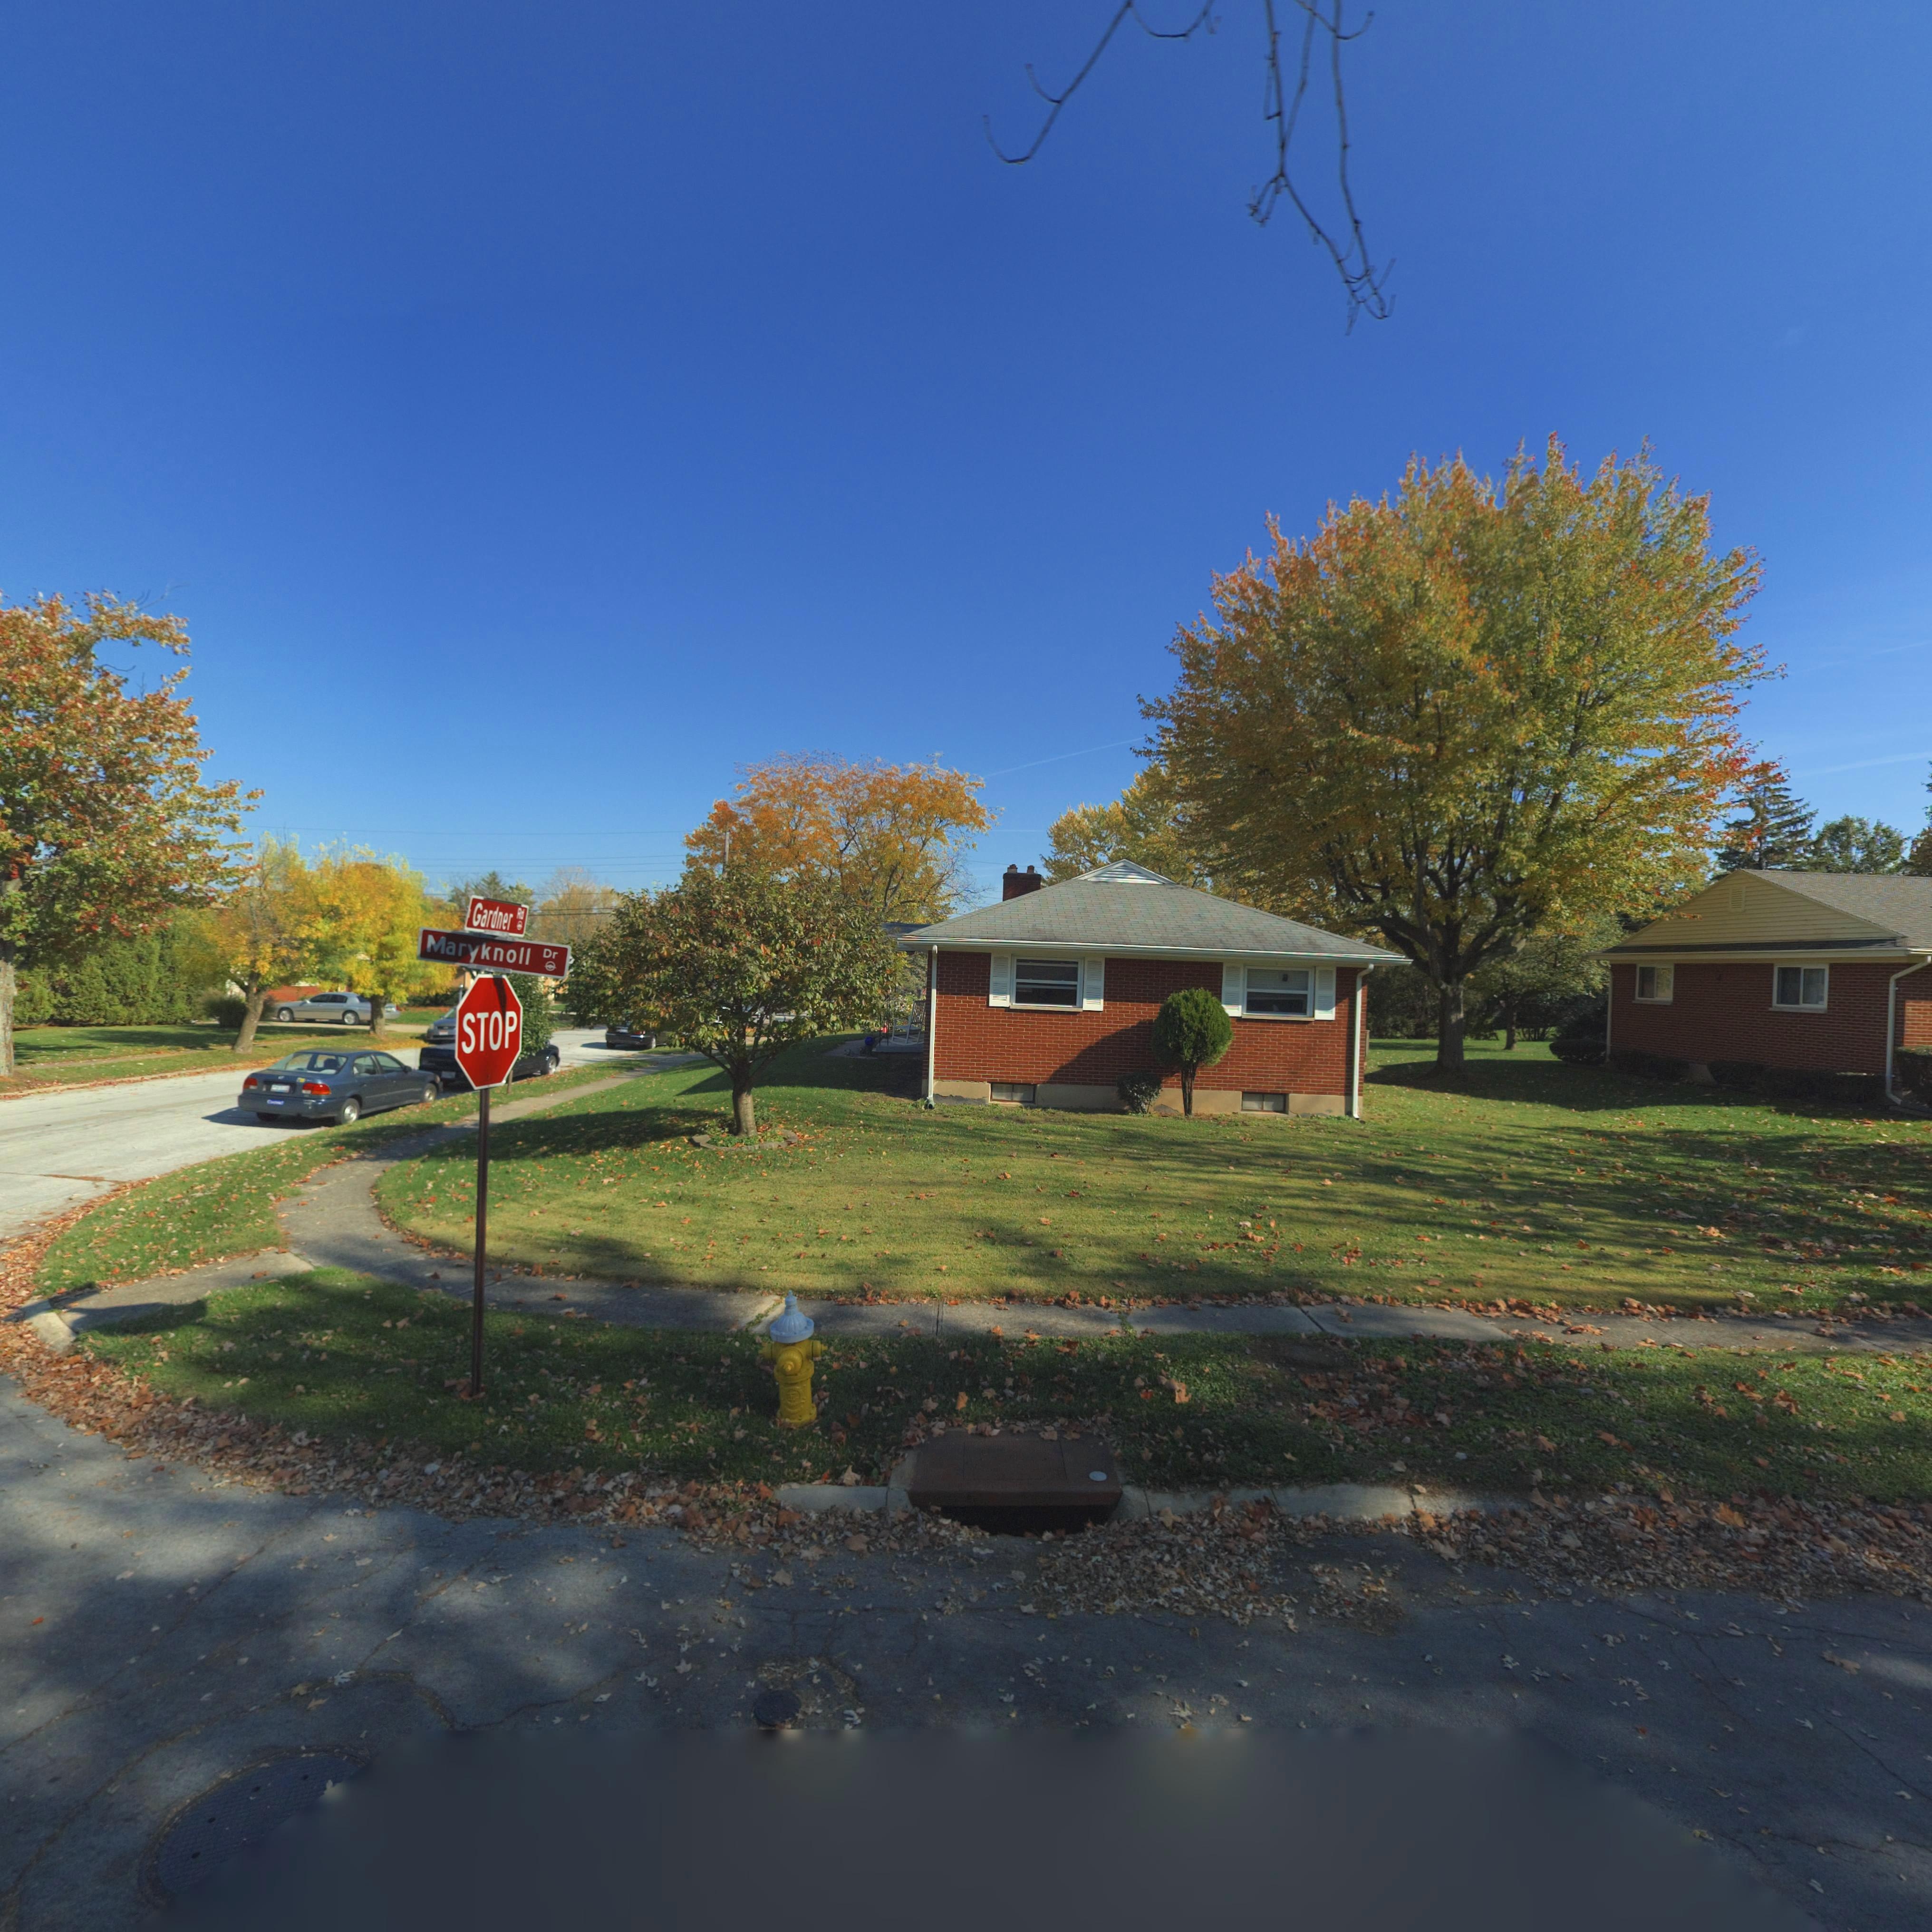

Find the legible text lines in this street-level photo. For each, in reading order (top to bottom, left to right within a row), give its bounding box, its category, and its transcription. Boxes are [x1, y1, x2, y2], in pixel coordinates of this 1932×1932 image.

[470, 900, 526, 931] StreetName: Gardner Rd
[425, 933, 561, 966] StreetName: Maryknoll Dr
[461, 1010, 519, 1055] None: STOP